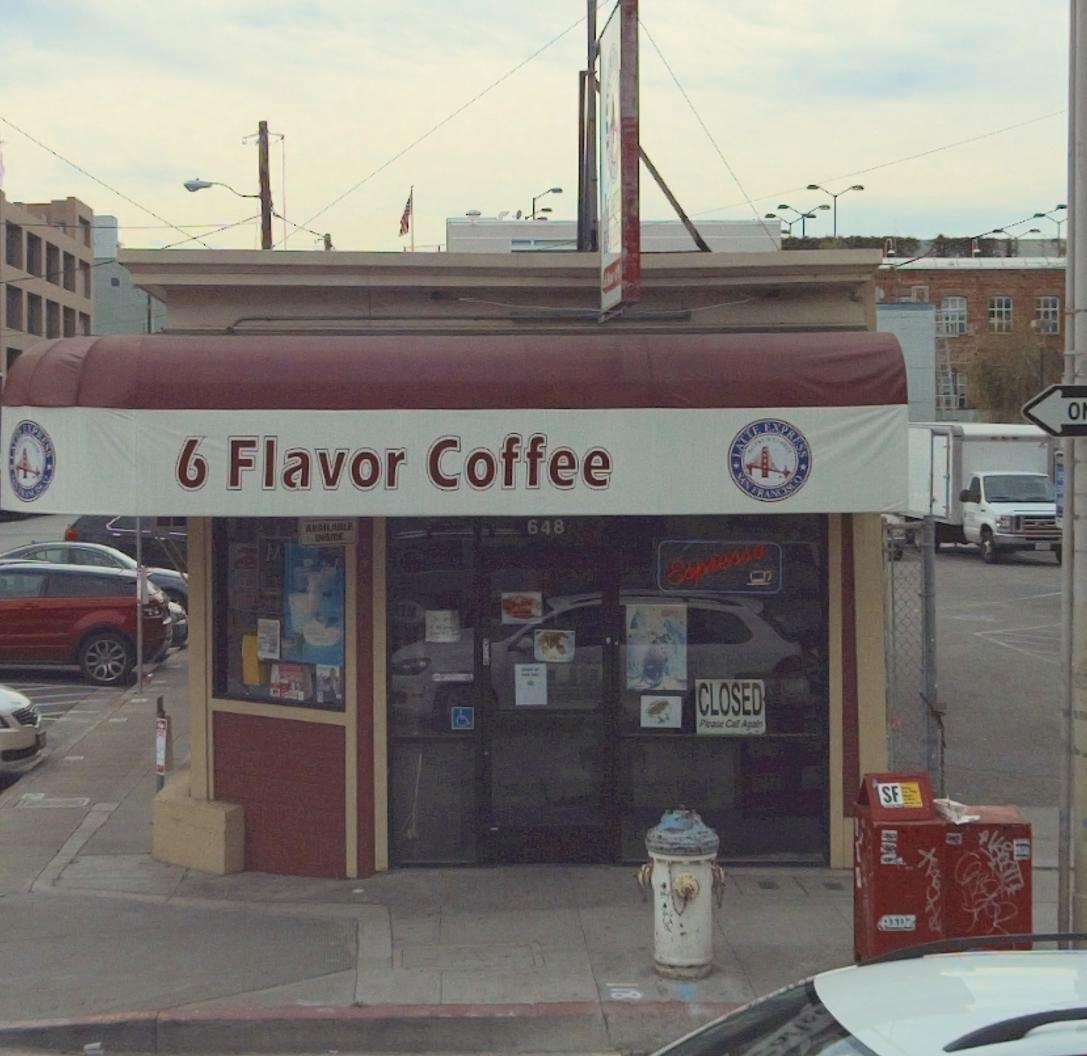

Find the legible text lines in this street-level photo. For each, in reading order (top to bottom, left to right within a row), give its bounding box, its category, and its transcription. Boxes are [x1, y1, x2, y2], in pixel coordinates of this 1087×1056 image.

[1065, 399, 1083, 423] None: O
[728, 420, 811, 461] BusinessName: LATTE EXPRESS
[166, 428, 619, 496] None: 6 Flavor Coffee
[731, 469, 808, 500] BusinessName: SAN FRANCISCO
[525, 517, 567, 537] StreetNumber: 648
[663, 540, 771, 590] None: Espresso
[695, 678, 766, 720] None: CLOSED
[877, 782, 902, 806] None: SF